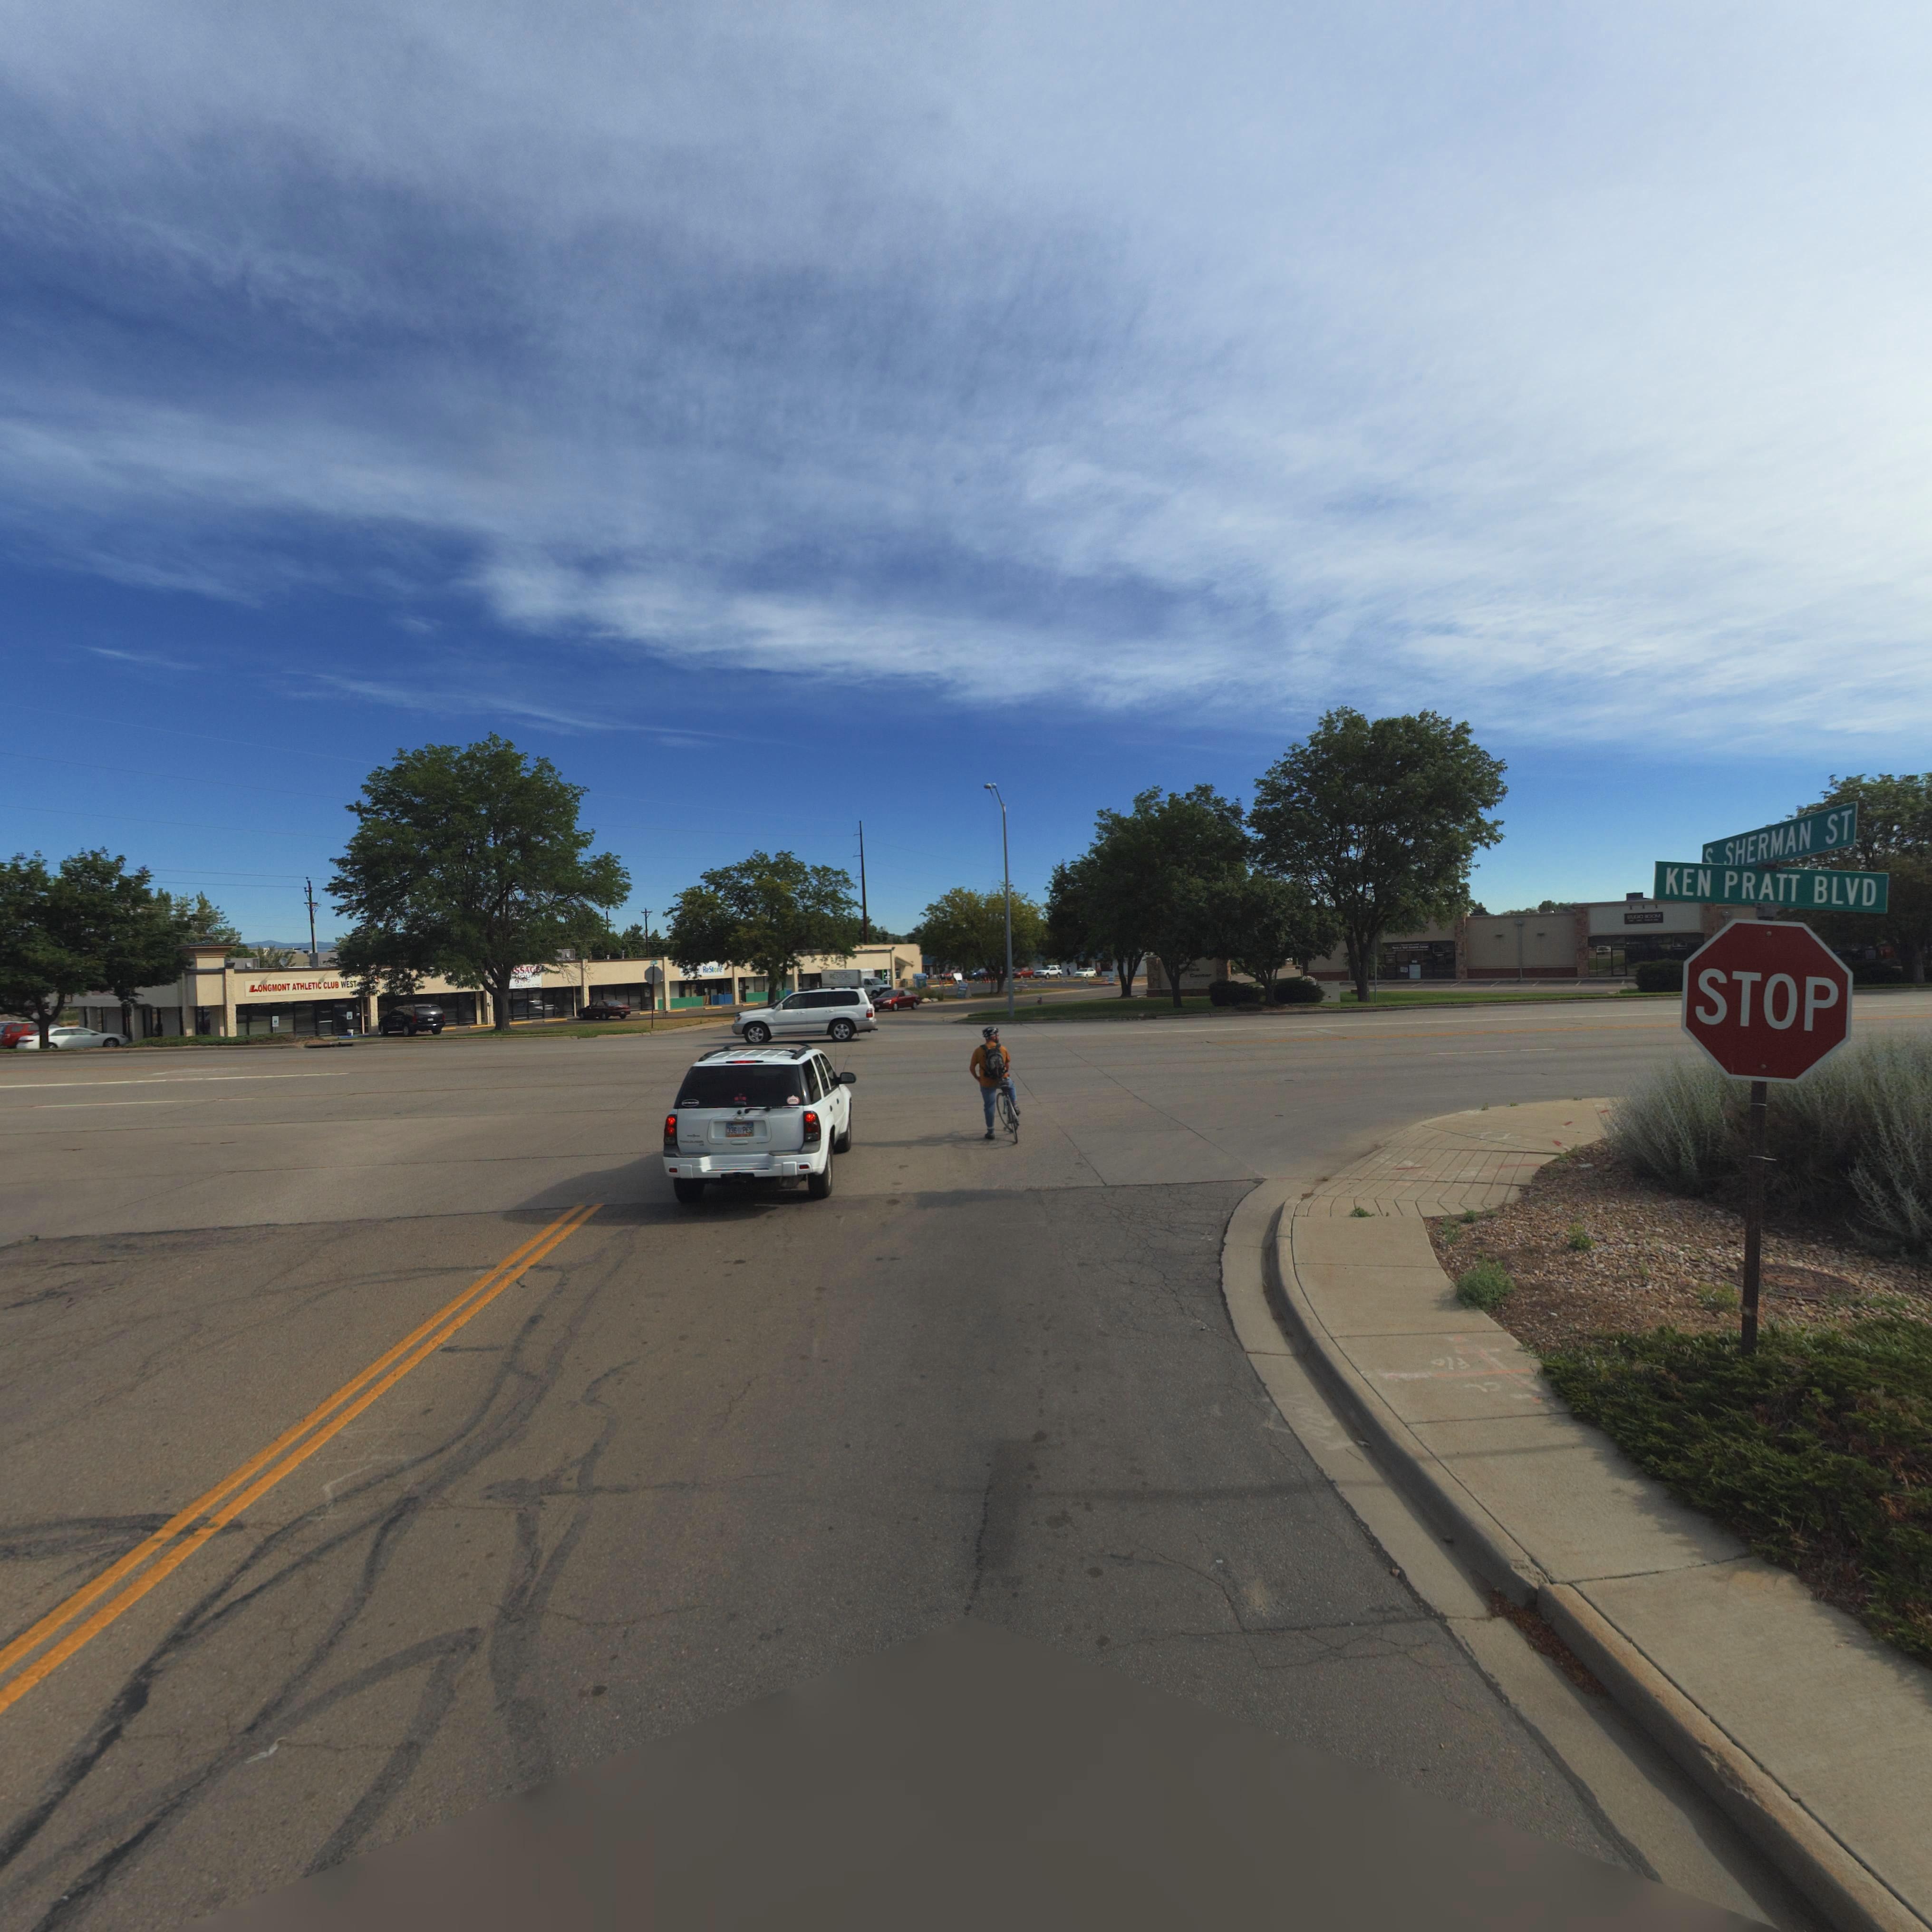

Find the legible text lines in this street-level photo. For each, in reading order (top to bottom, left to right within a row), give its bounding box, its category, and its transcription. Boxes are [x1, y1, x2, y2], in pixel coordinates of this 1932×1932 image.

[1703, 807, 1852, 866] StreetName: * SHERMAN ST
[1664, 866, 1878, 907] StreetName: KEN PRATT BLVD
[258, 980, 357, 992] BusinessName: ONGMONT ATHLETIC CLUB WEST
[1695, 967, 1839, 1032] BusinessName: STOP